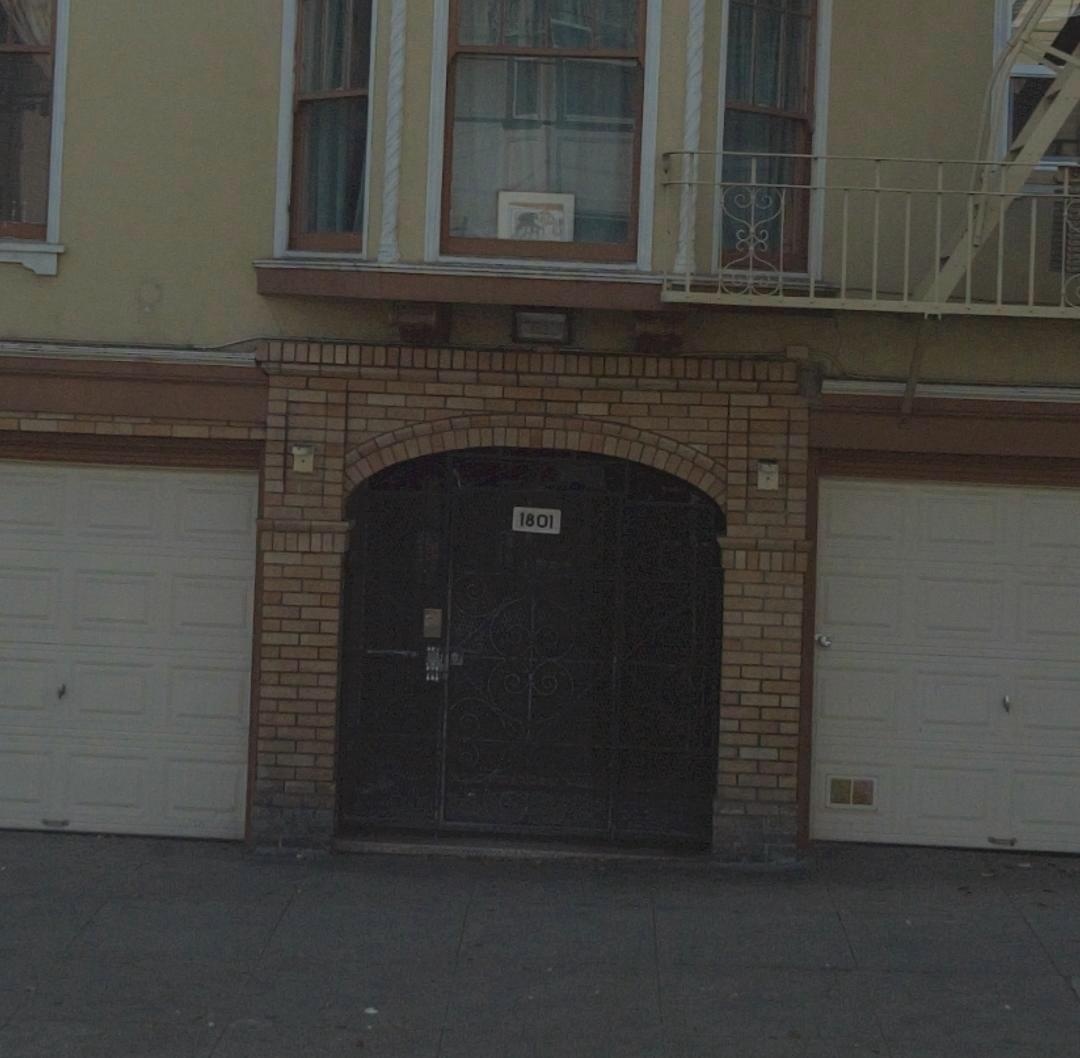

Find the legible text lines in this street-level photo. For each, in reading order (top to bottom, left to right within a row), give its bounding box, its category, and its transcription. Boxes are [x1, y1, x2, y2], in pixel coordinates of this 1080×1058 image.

[517, 509, 556, 532] StreetNumber: 1801